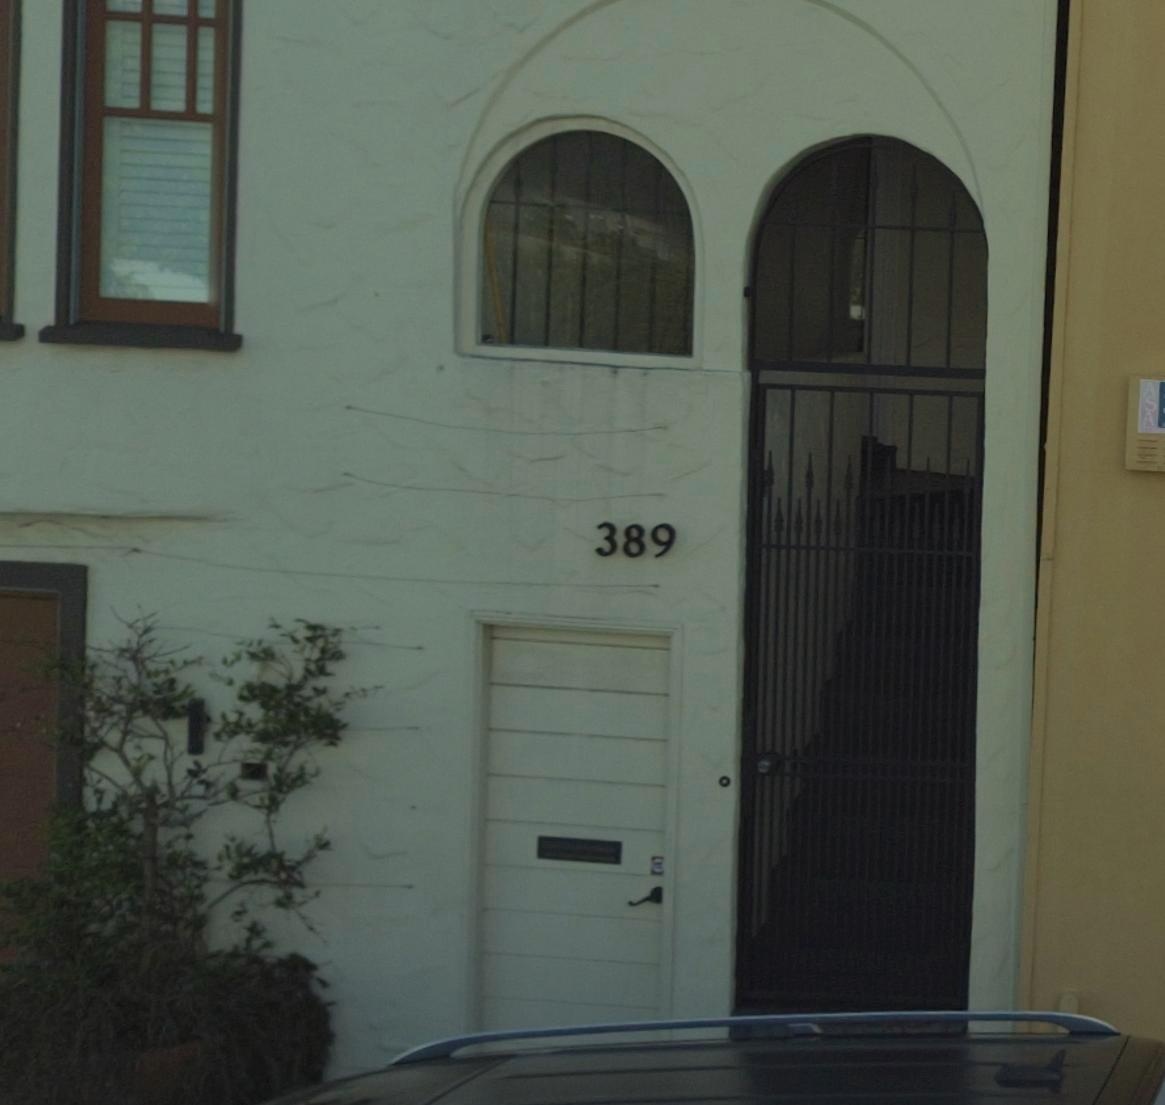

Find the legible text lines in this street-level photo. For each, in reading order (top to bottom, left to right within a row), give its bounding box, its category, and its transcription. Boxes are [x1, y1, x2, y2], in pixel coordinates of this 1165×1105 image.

[592, 519, 678, 561] StreetNumber: 389